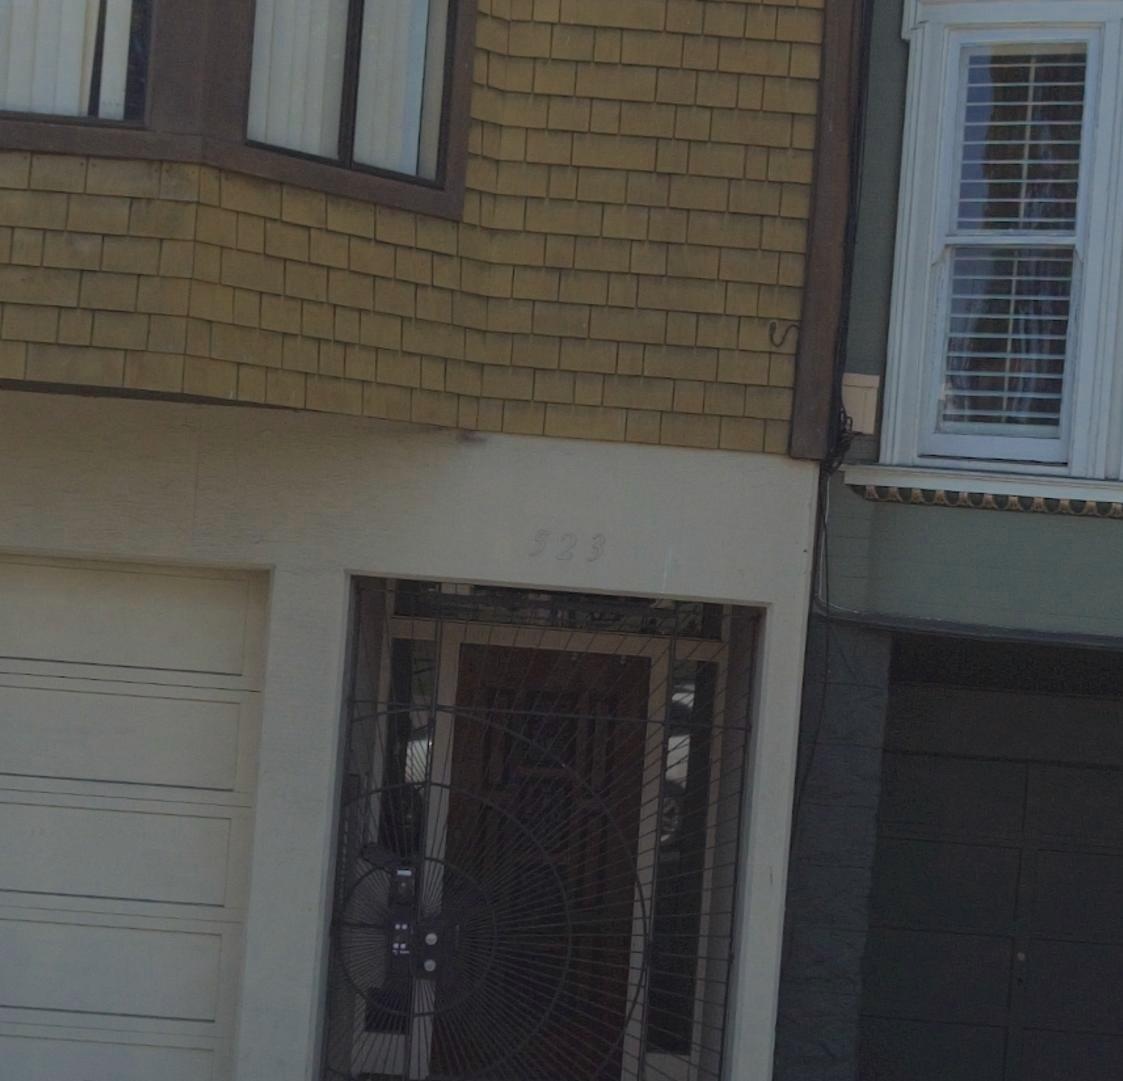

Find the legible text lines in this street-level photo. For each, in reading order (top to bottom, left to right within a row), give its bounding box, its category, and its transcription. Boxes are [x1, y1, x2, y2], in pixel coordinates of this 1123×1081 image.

[523, 528, 615, 563] StreetNumber: 523